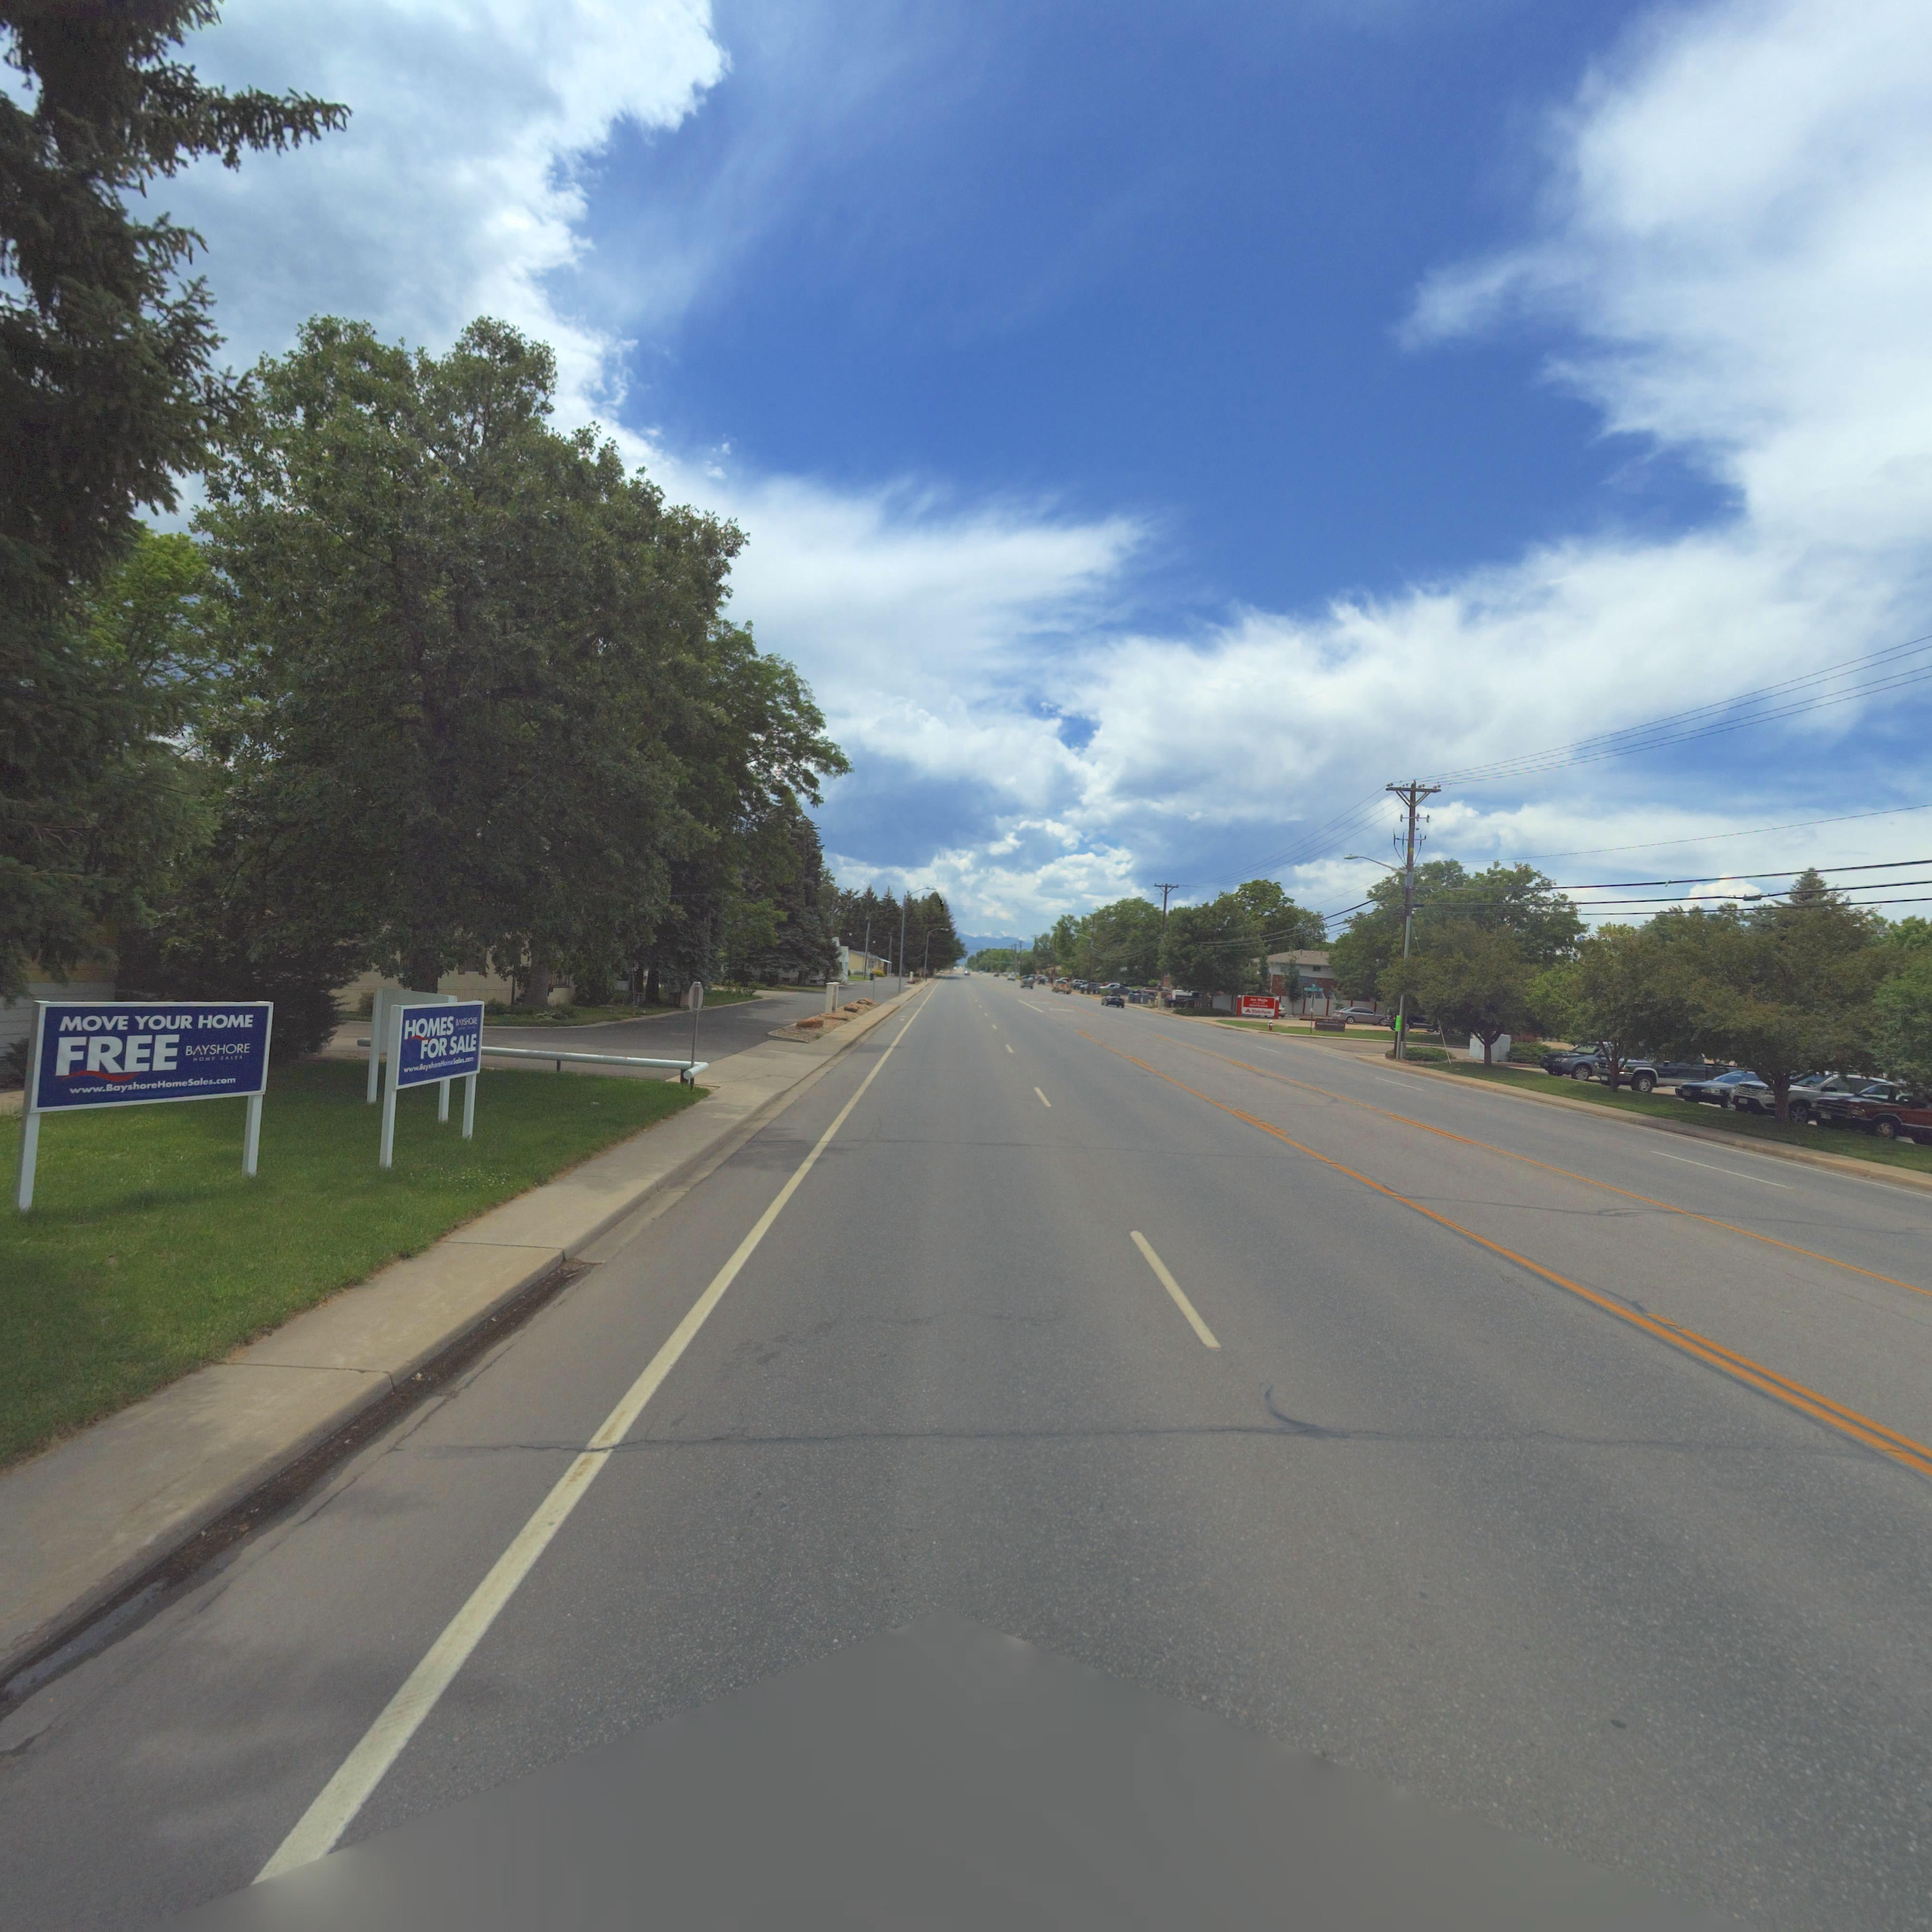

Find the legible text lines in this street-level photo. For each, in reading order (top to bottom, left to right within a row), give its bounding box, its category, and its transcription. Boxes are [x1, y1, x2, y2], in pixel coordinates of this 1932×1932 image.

[1304, 987, 1323, 991] StreetName: ******L **
[1250, 1009, 1271, 1014] BusinessName: S**** F***